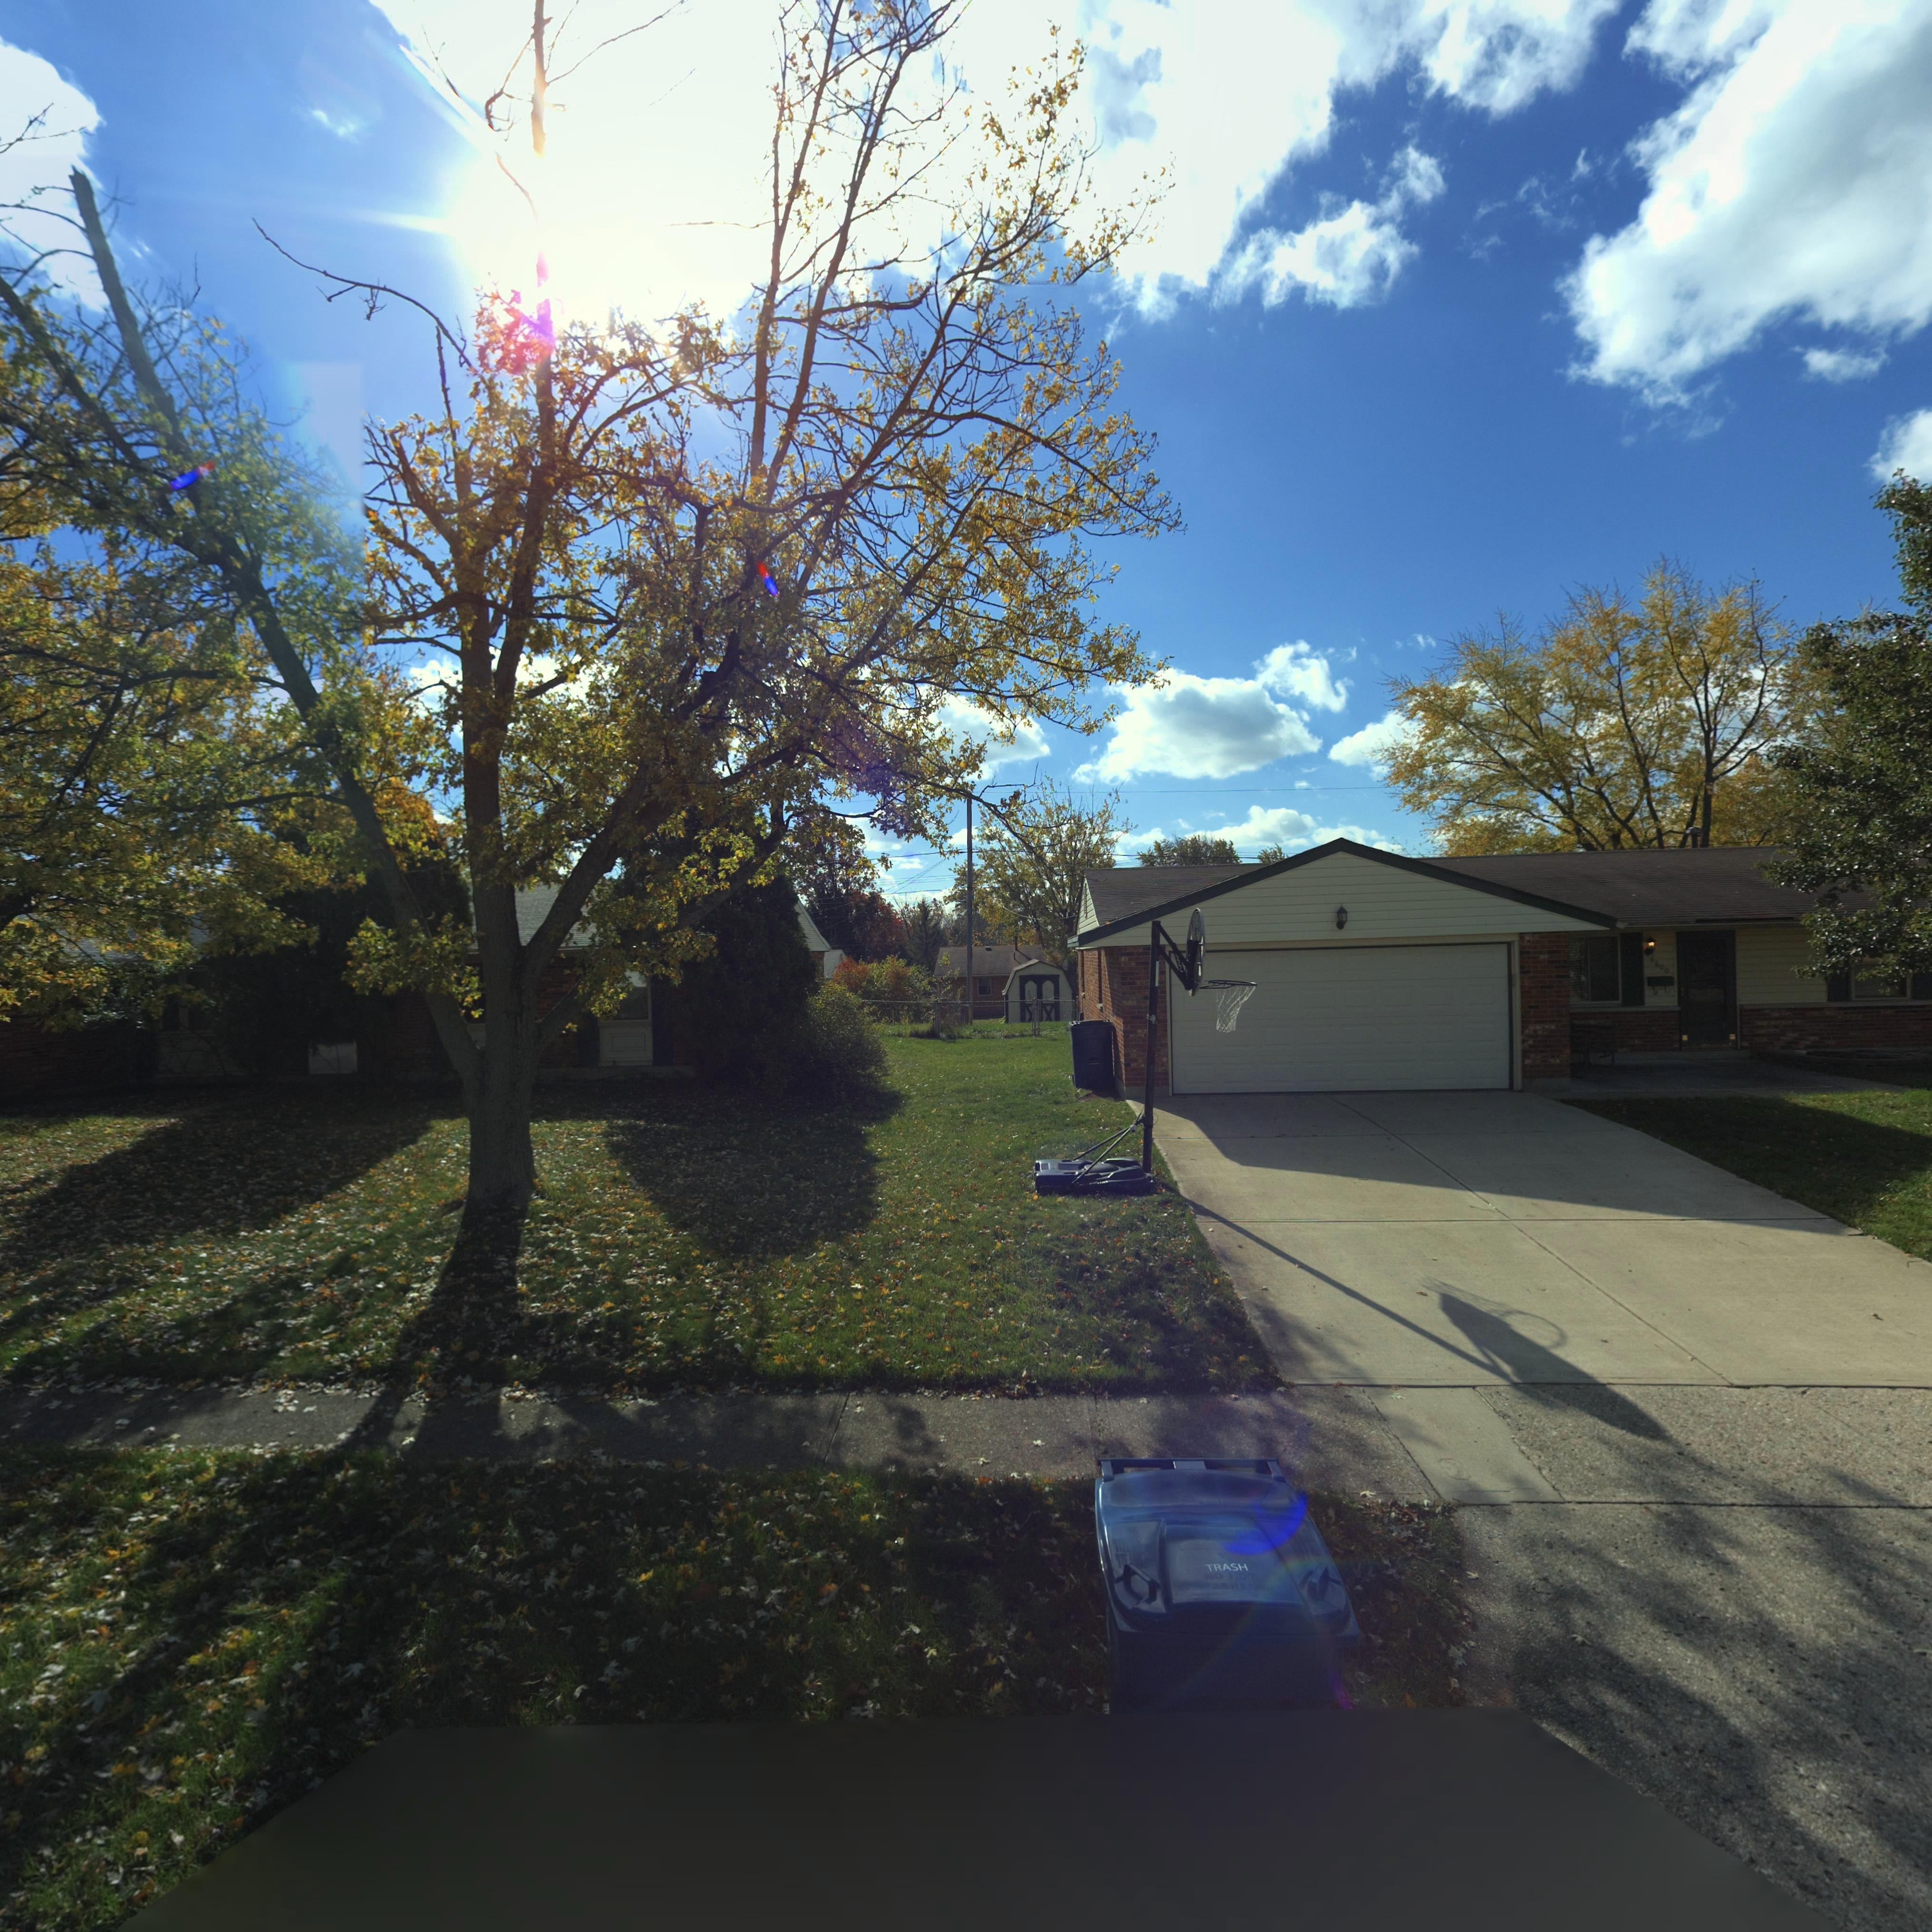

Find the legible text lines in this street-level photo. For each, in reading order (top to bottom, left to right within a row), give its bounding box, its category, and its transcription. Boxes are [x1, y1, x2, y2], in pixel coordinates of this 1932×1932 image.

[1649, 956, 1670, 975] StreetNumber: 6600